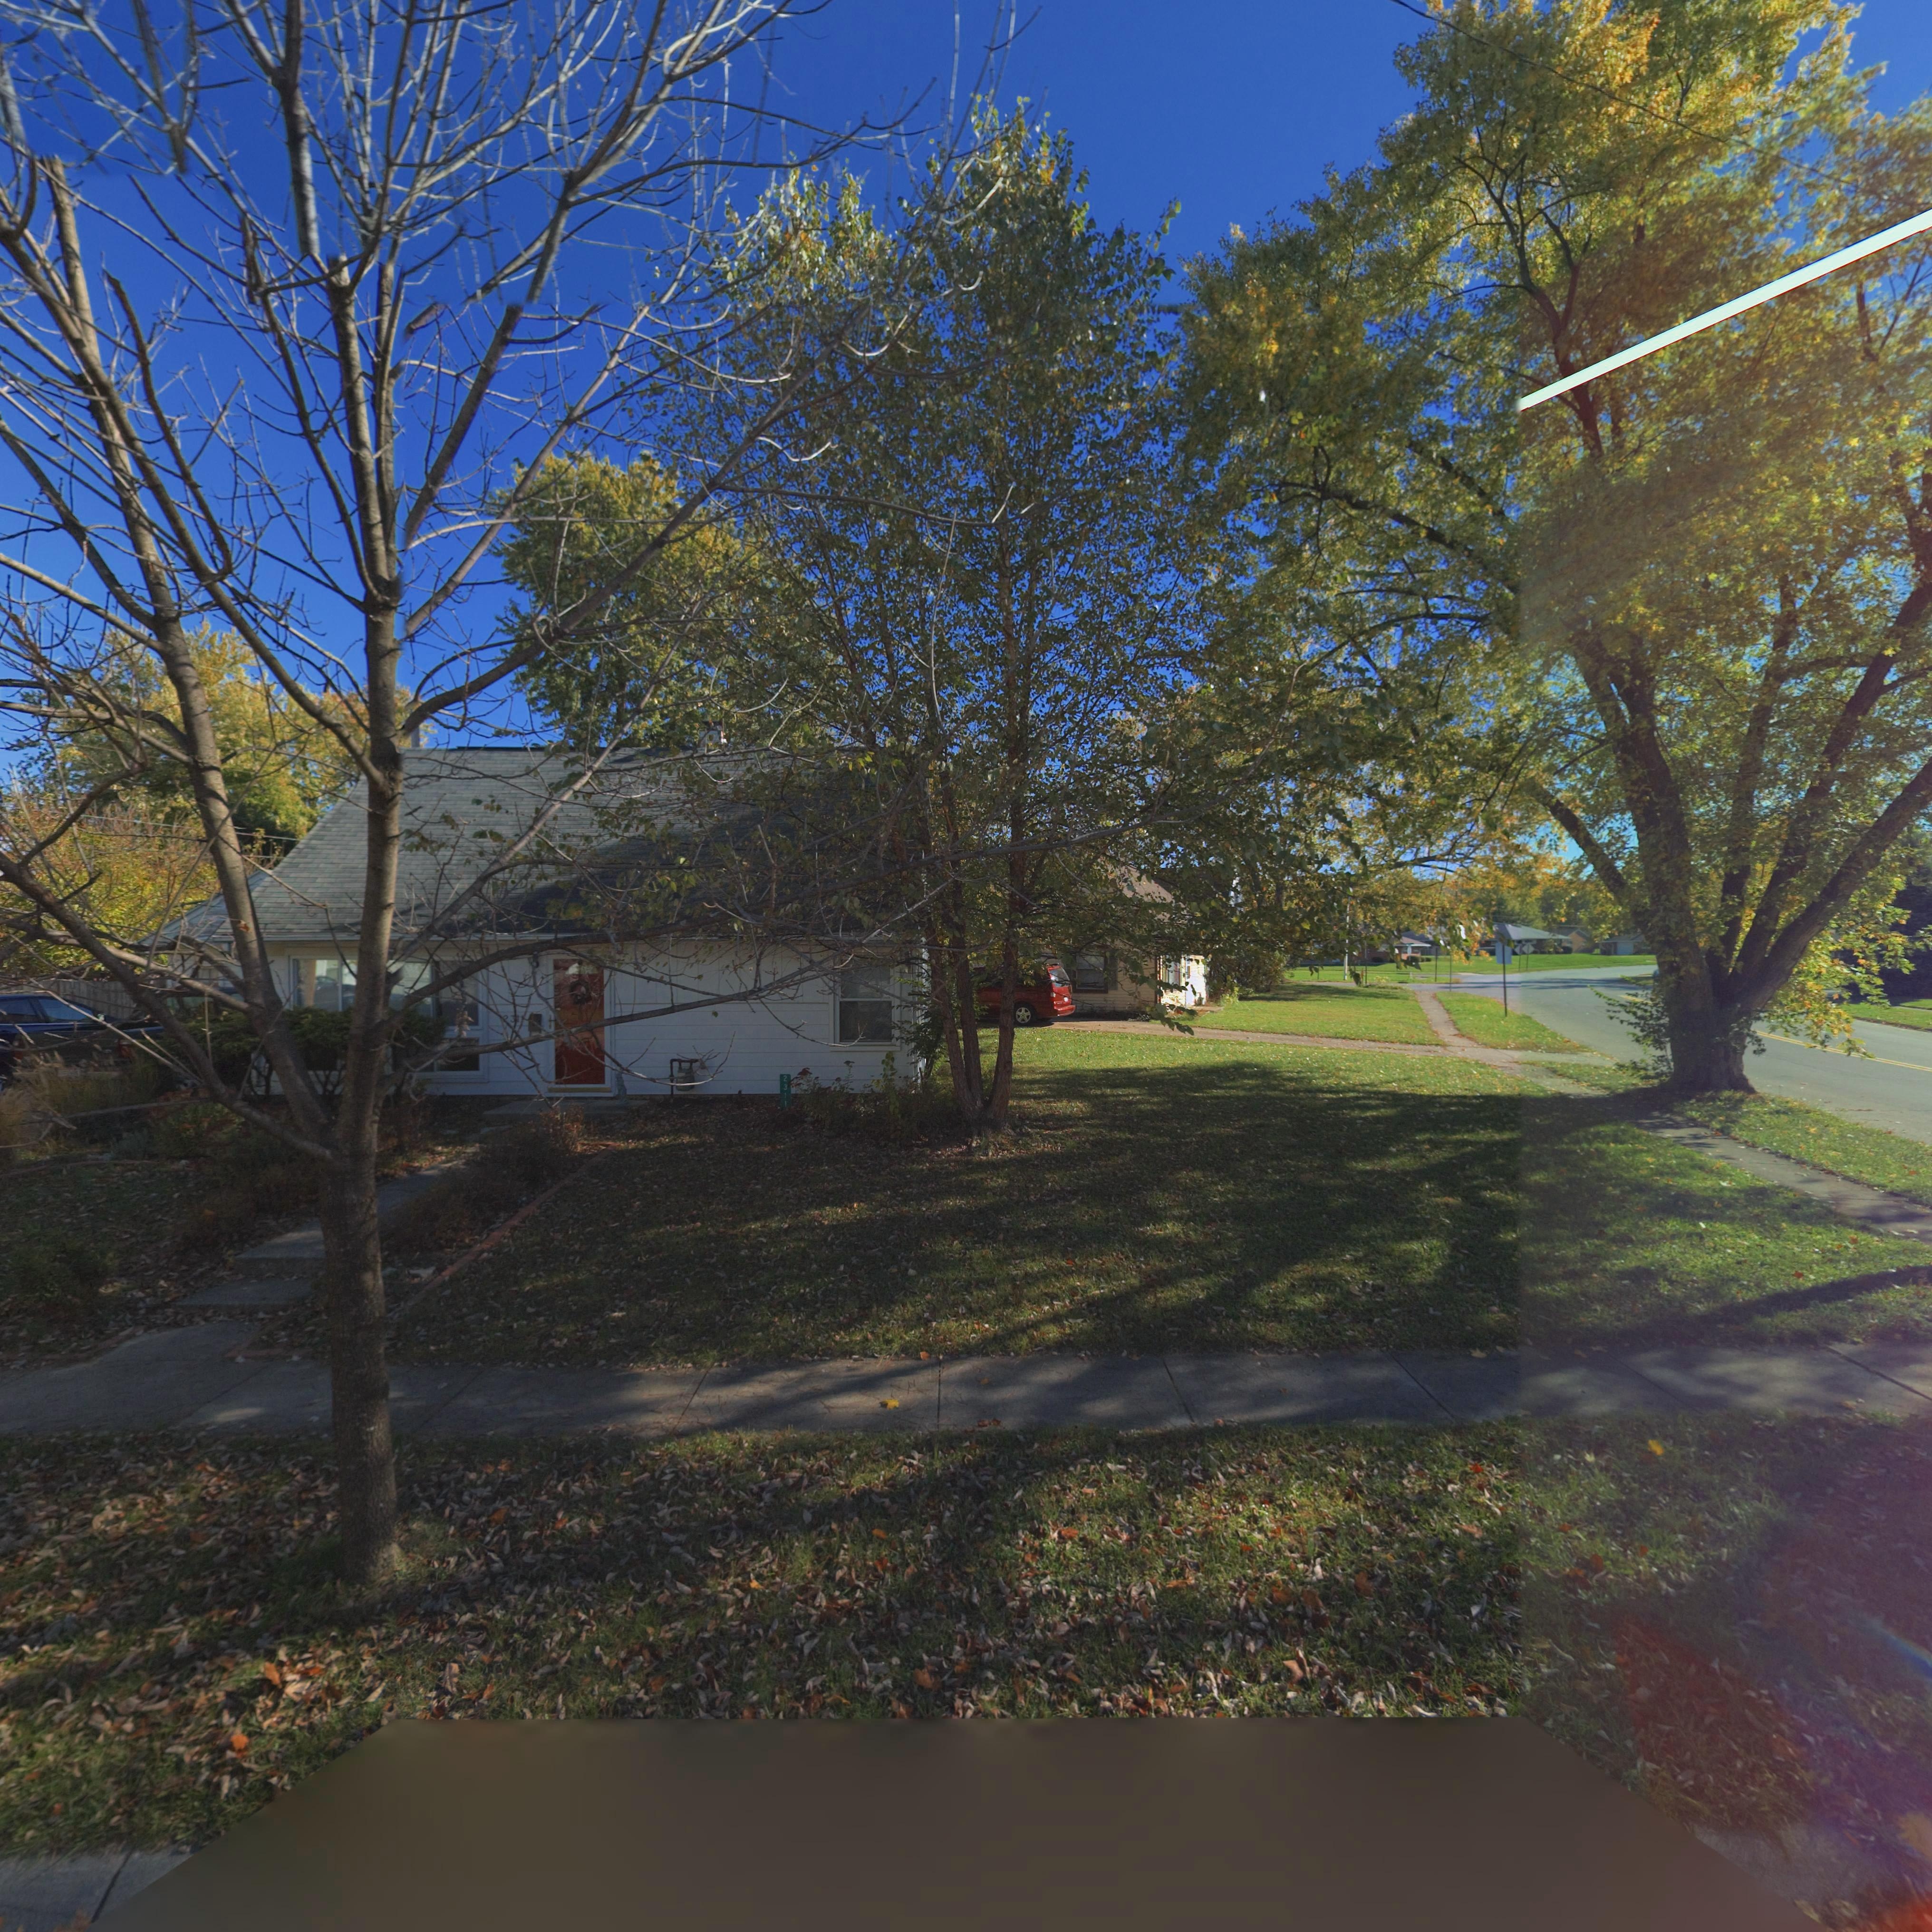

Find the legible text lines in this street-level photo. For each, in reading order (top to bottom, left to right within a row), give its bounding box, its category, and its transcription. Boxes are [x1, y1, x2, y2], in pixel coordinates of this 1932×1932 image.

[782, 1074, 788, 1108] StreetNumber: 2311